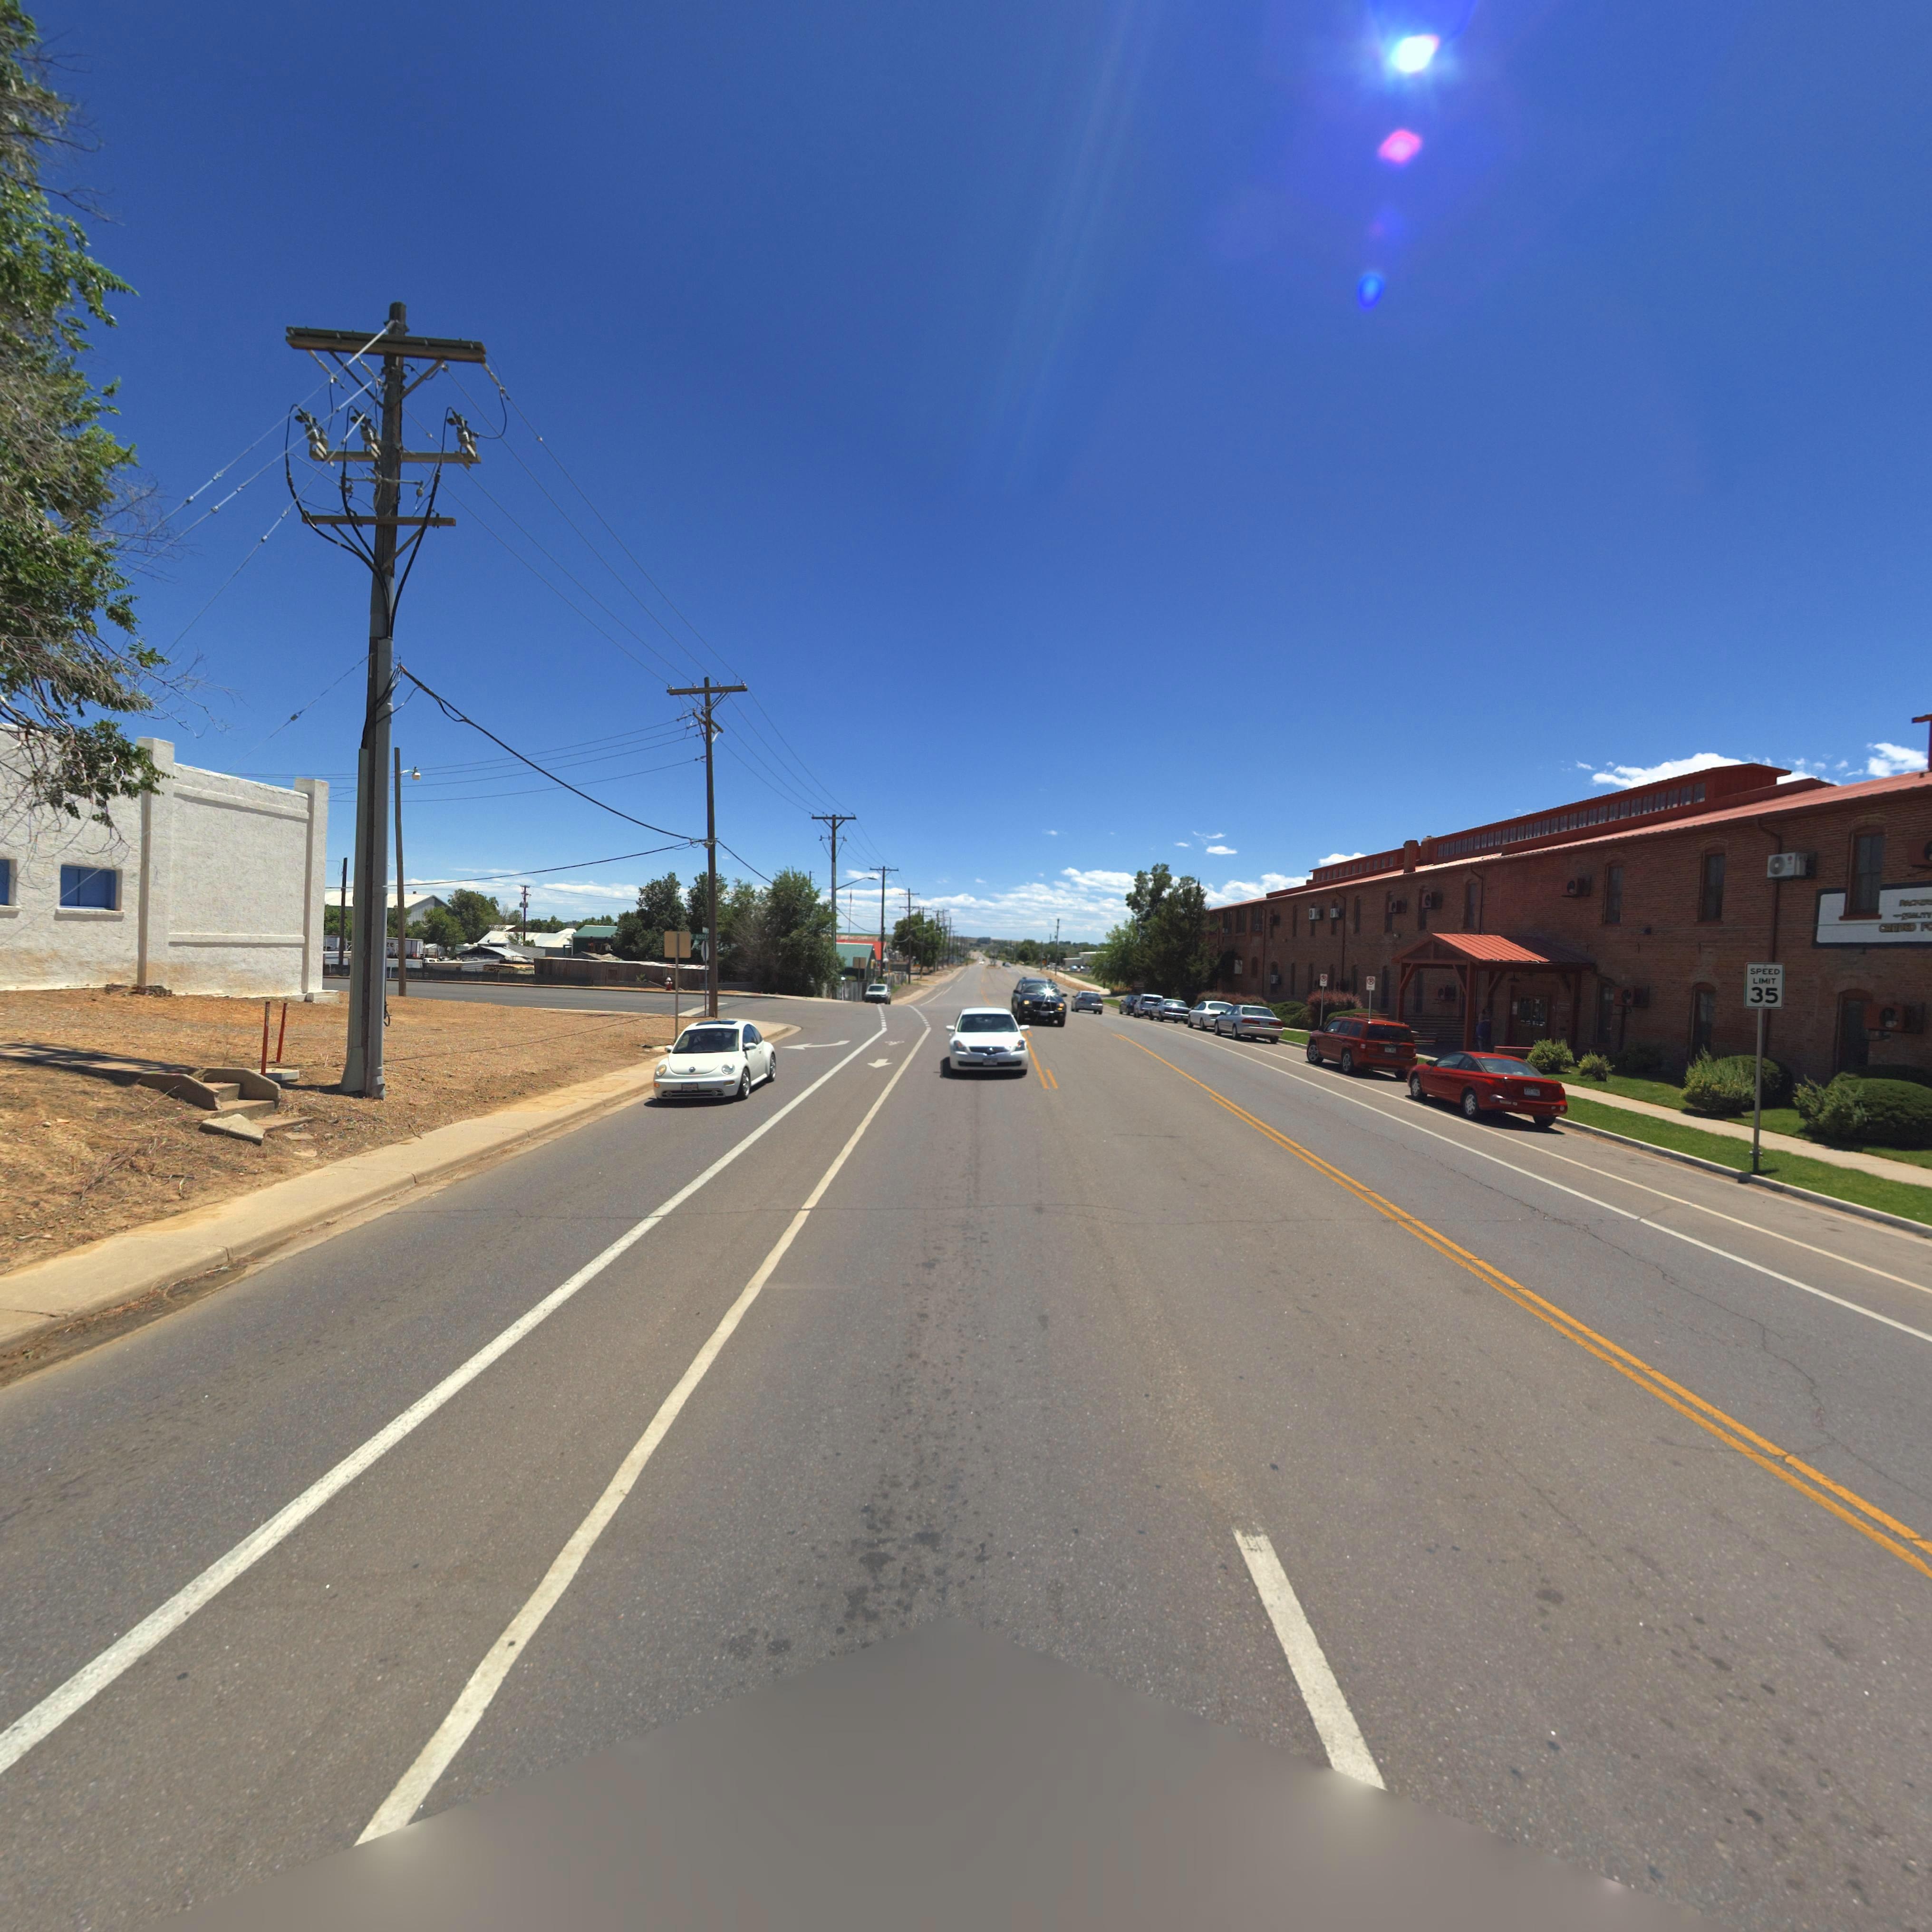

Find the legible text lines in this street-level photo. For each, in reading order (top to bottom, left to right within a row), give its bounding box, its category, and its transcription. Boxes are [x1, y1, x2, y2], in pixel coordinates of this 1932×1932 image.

[690, 934, 708, 939] StreetName: E *OSE